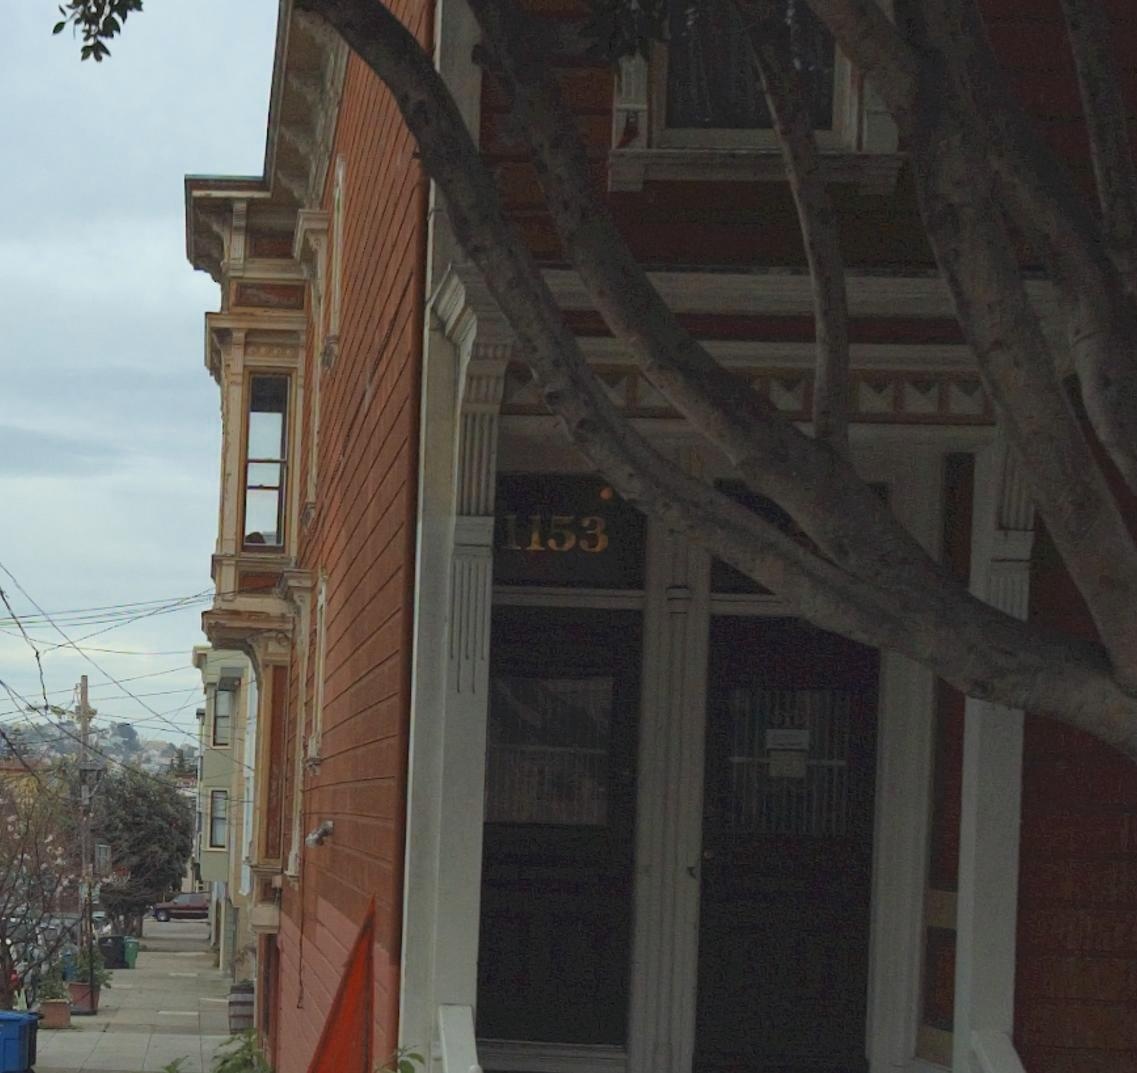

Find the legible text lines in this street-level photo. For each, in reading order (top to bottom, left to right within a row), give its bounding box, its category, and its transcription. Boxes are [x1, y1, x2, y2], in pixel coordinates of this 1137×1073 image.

[500, 513, 611, 553] StreetNumber: 1153